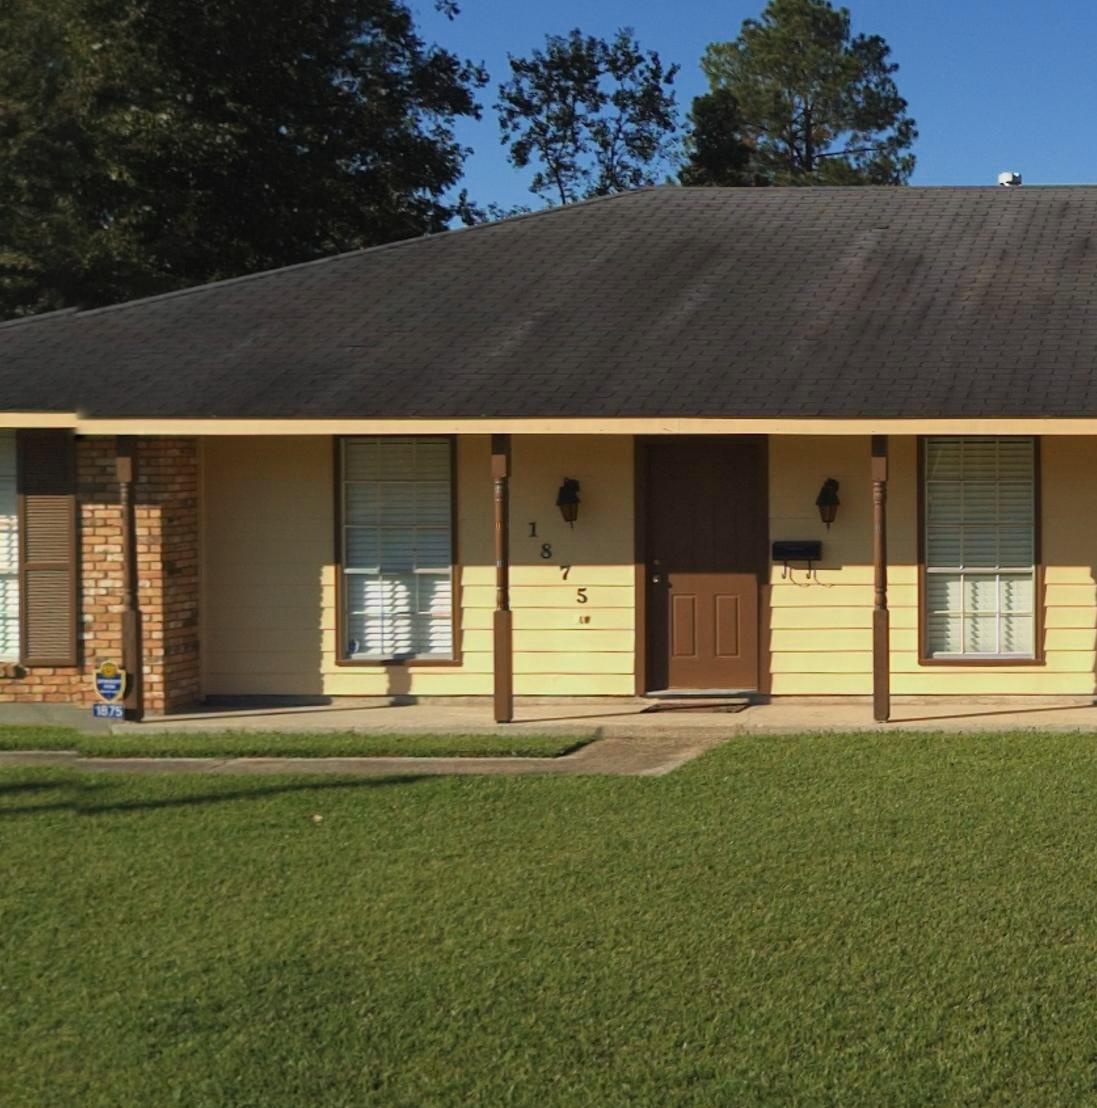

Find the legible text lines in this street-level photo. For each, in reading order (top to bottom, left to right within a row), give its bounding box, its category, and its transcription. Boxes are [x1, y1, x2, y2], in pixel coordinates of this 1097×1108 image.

[526, 520, 589, 606] StreetNumber: 1975